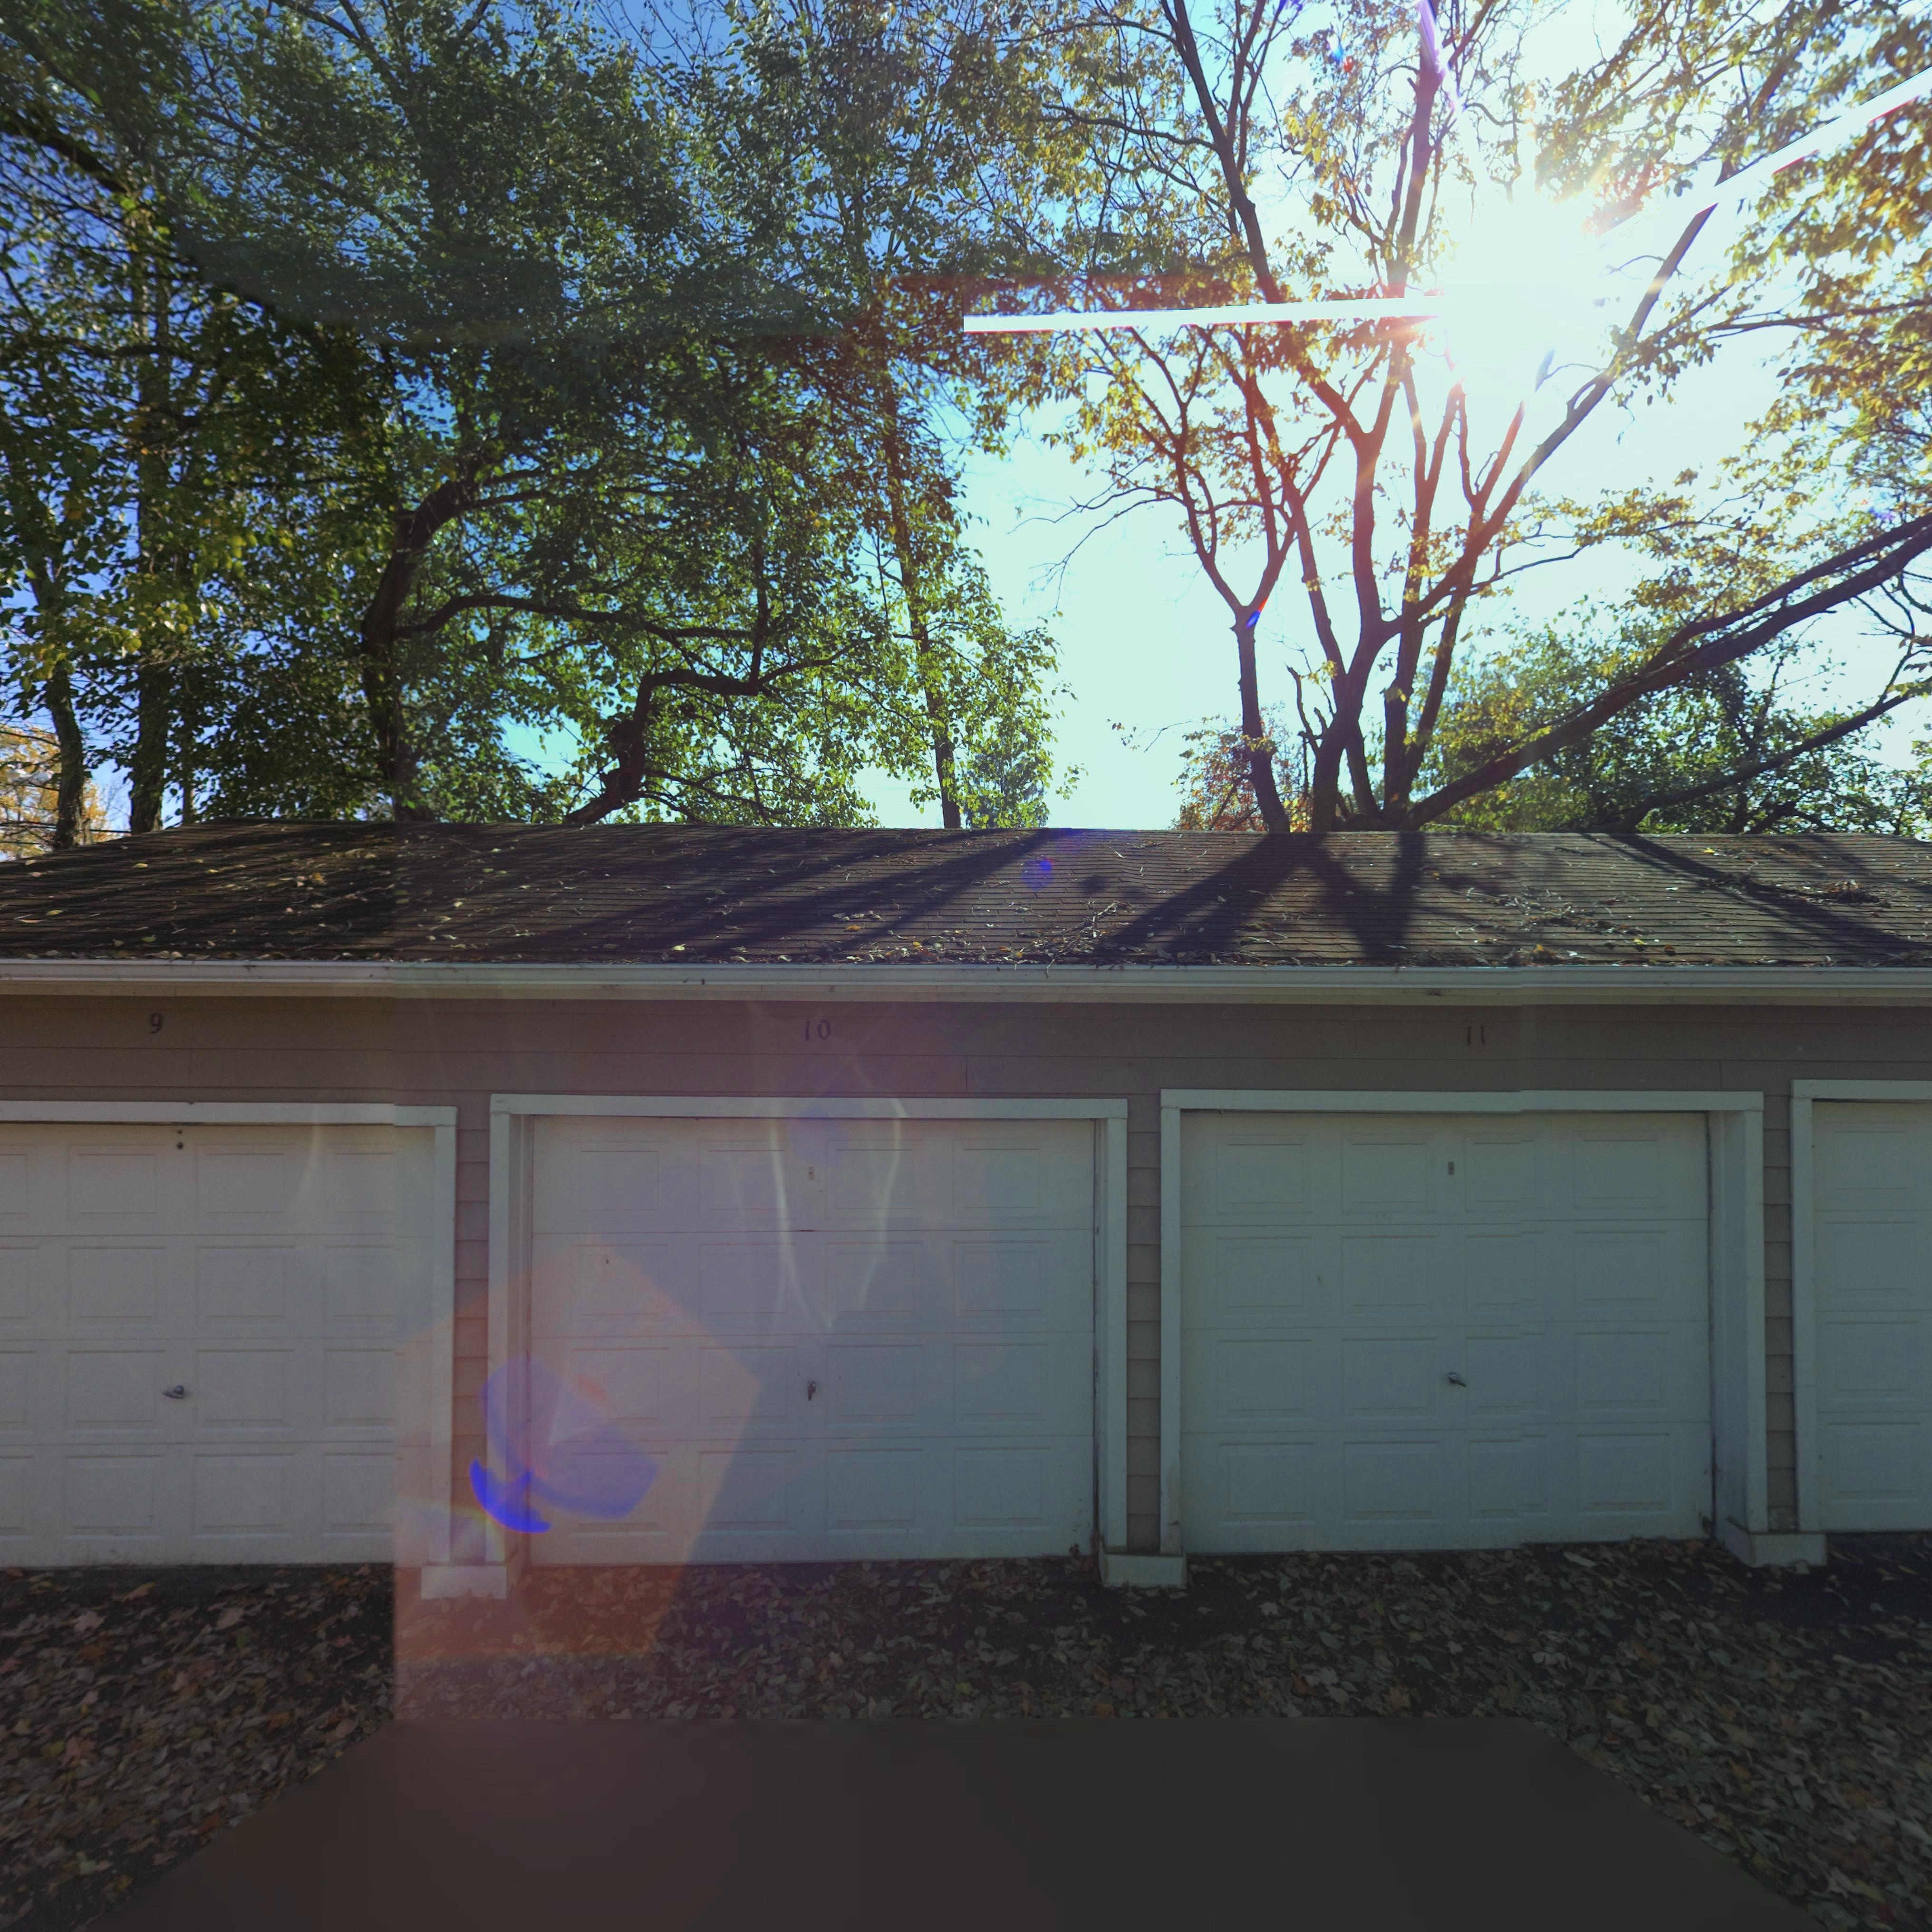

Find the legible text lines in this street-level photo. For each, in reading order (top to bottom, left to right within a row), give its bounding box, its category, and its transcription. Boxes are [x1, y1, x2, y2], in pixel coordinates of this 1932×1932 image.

[147, 1012, 163, 1034] StreetNumber: 9
[803, 1018, 831, 1042] StreetNumber: 10
[1464, 1024, 1487, 1045] StreetNumber: 11